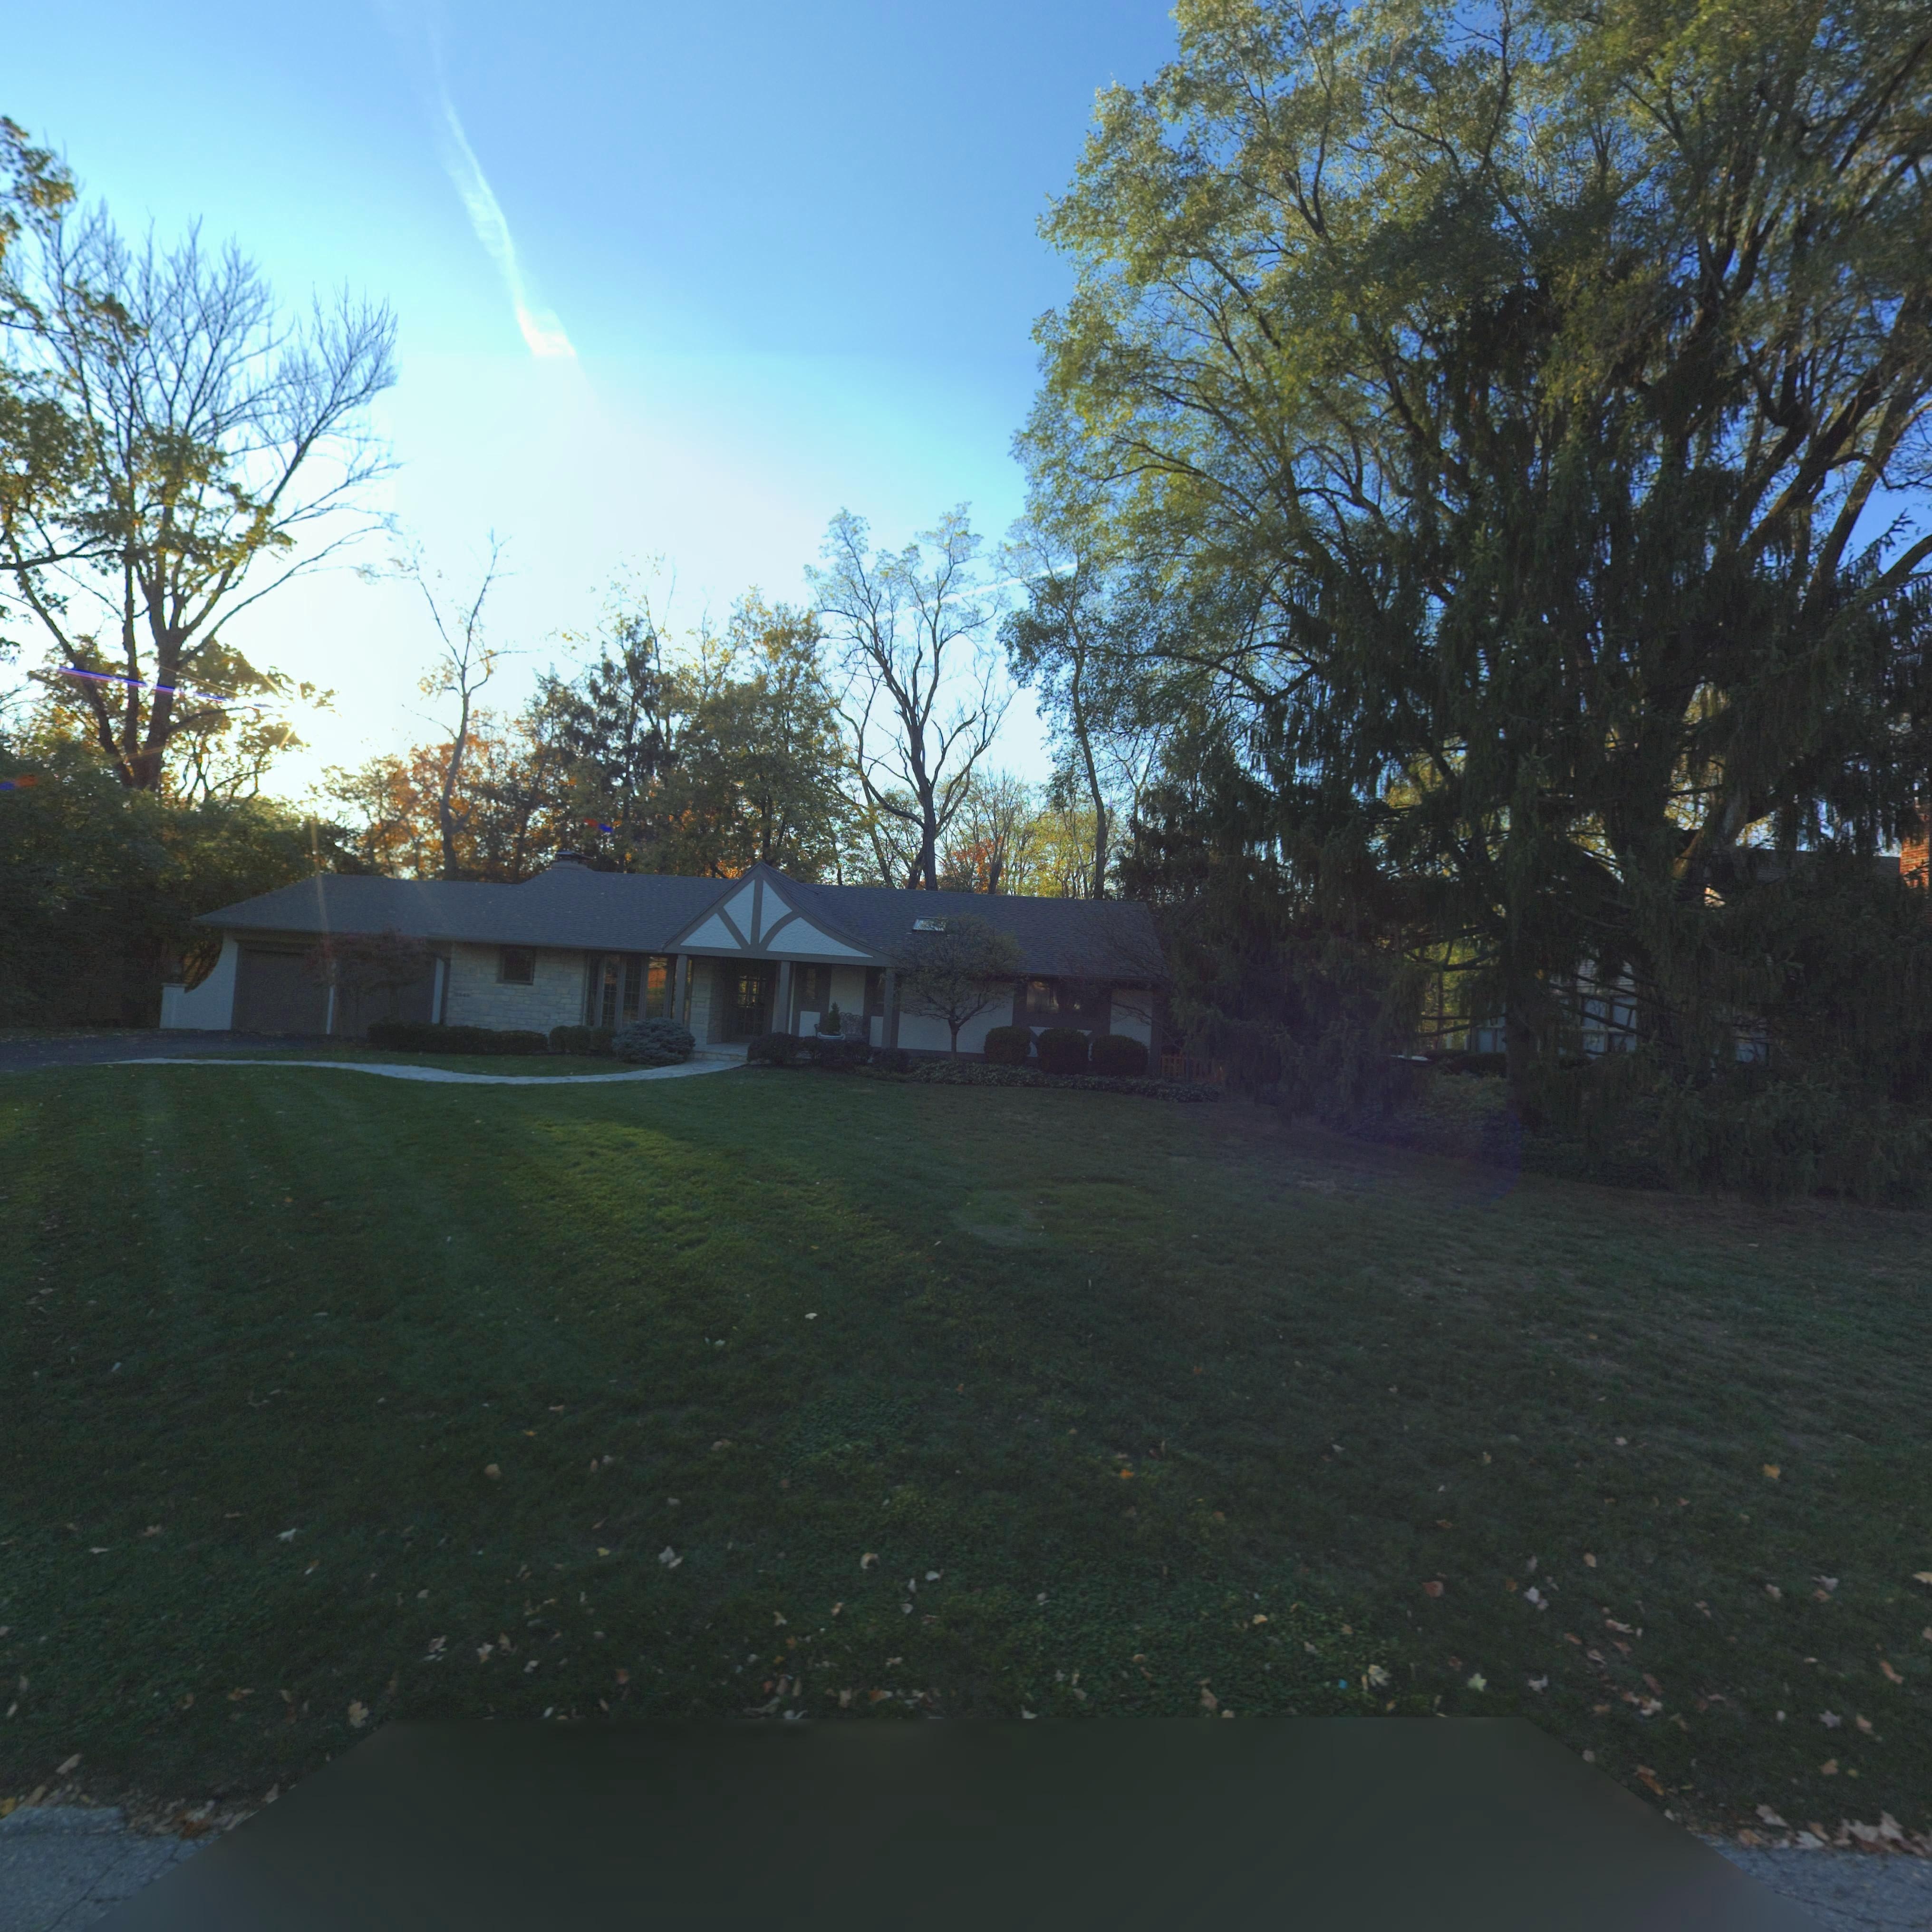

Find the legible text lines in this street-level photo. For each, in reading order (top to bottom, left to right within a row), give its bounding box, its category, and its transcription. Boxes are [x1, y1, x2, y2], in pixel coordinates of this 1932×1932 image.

[454, 991, 470, 998] StreetNumber: 3340